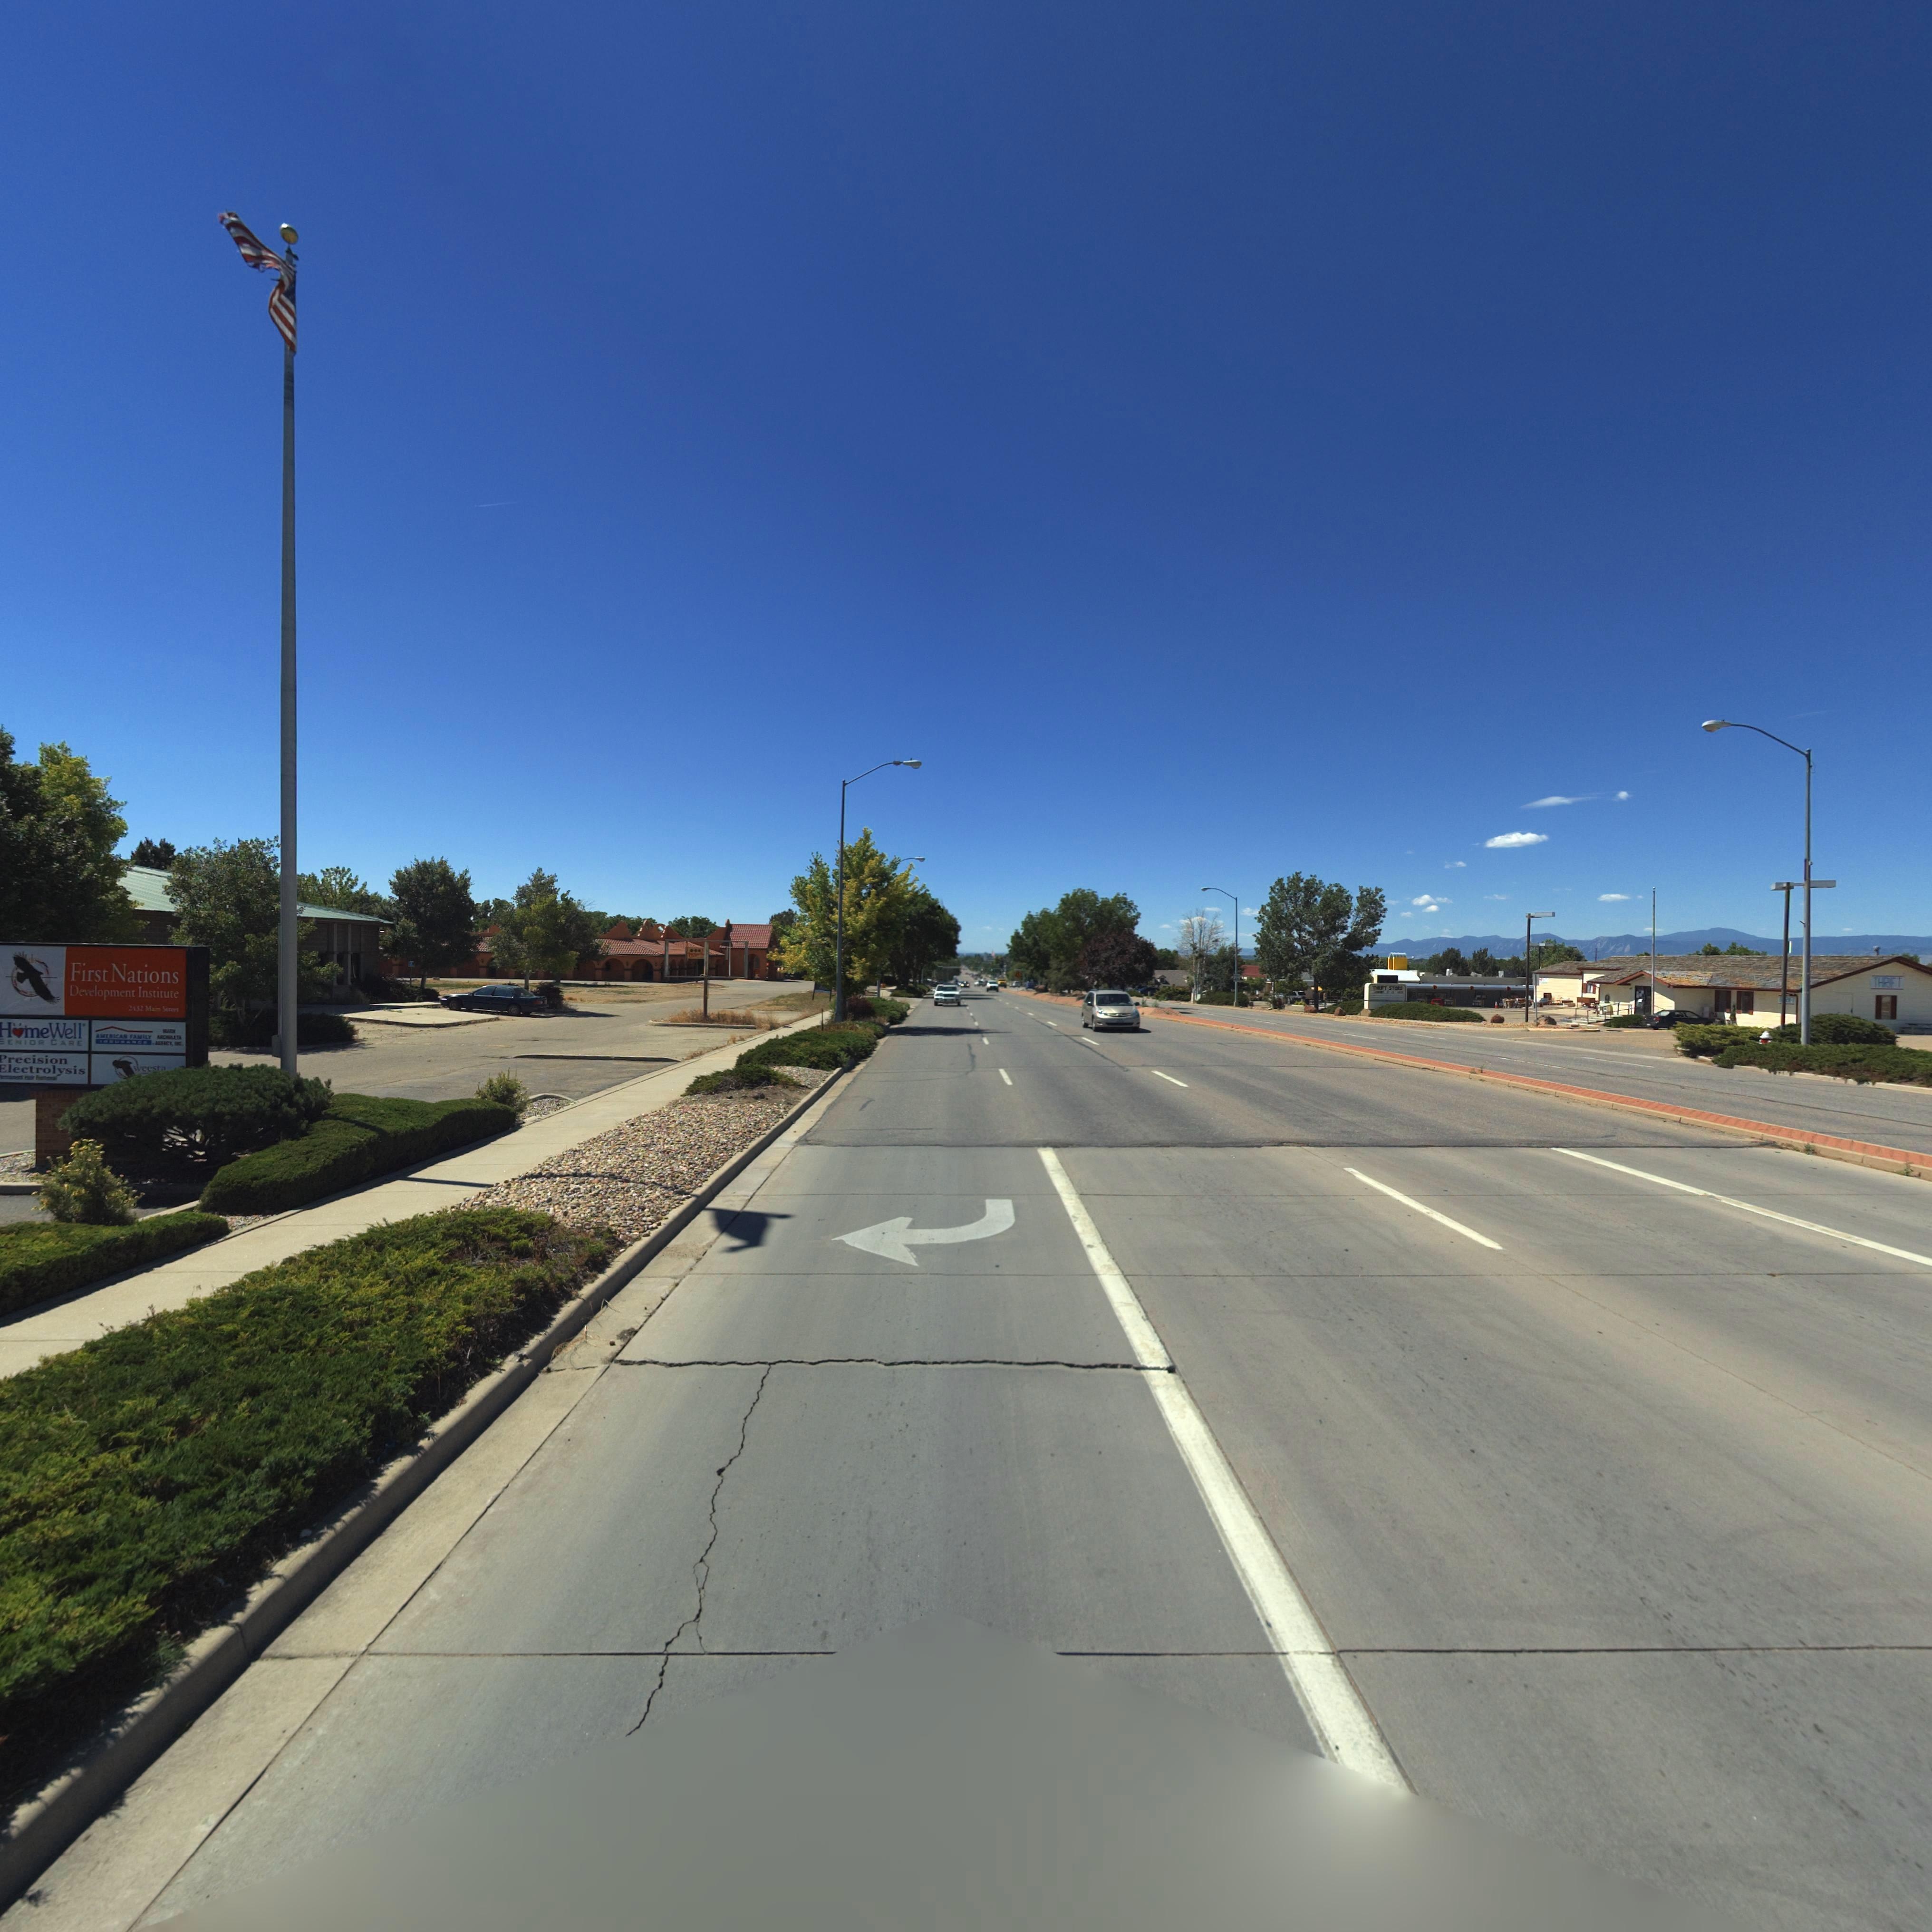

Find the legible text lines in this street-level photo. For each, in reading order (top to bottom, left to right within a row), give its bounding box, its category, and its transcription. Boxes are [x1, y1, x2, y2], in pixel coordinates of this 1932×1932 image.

[69, 961, 180, 985] BusinessName: First Nations
[69, 984, 179, 1001] BusinessName: Development Institute
[128, 1005, 144, 1012] StreetNumber: 2*32
[145, 1005, 179, 1012] StreetName: Main Street
[0, 1022, 82, 1039] BusinessName: H*me Well
[95, 1033, 152, 1039] BusinessName: AMERICAN FAMILY
[7, 1039, 83, 1046] BusinessName: ENIOR CARE
[99, 1039, 147, 1044] BusinessName: INSURANCE
[8, 1054, 68, 1064] BusinessName: recision
[7, 1063, 86, 1076] BusinessName: lectrolysis
[132, 1064, 166, 1072] BusinessName: weesta